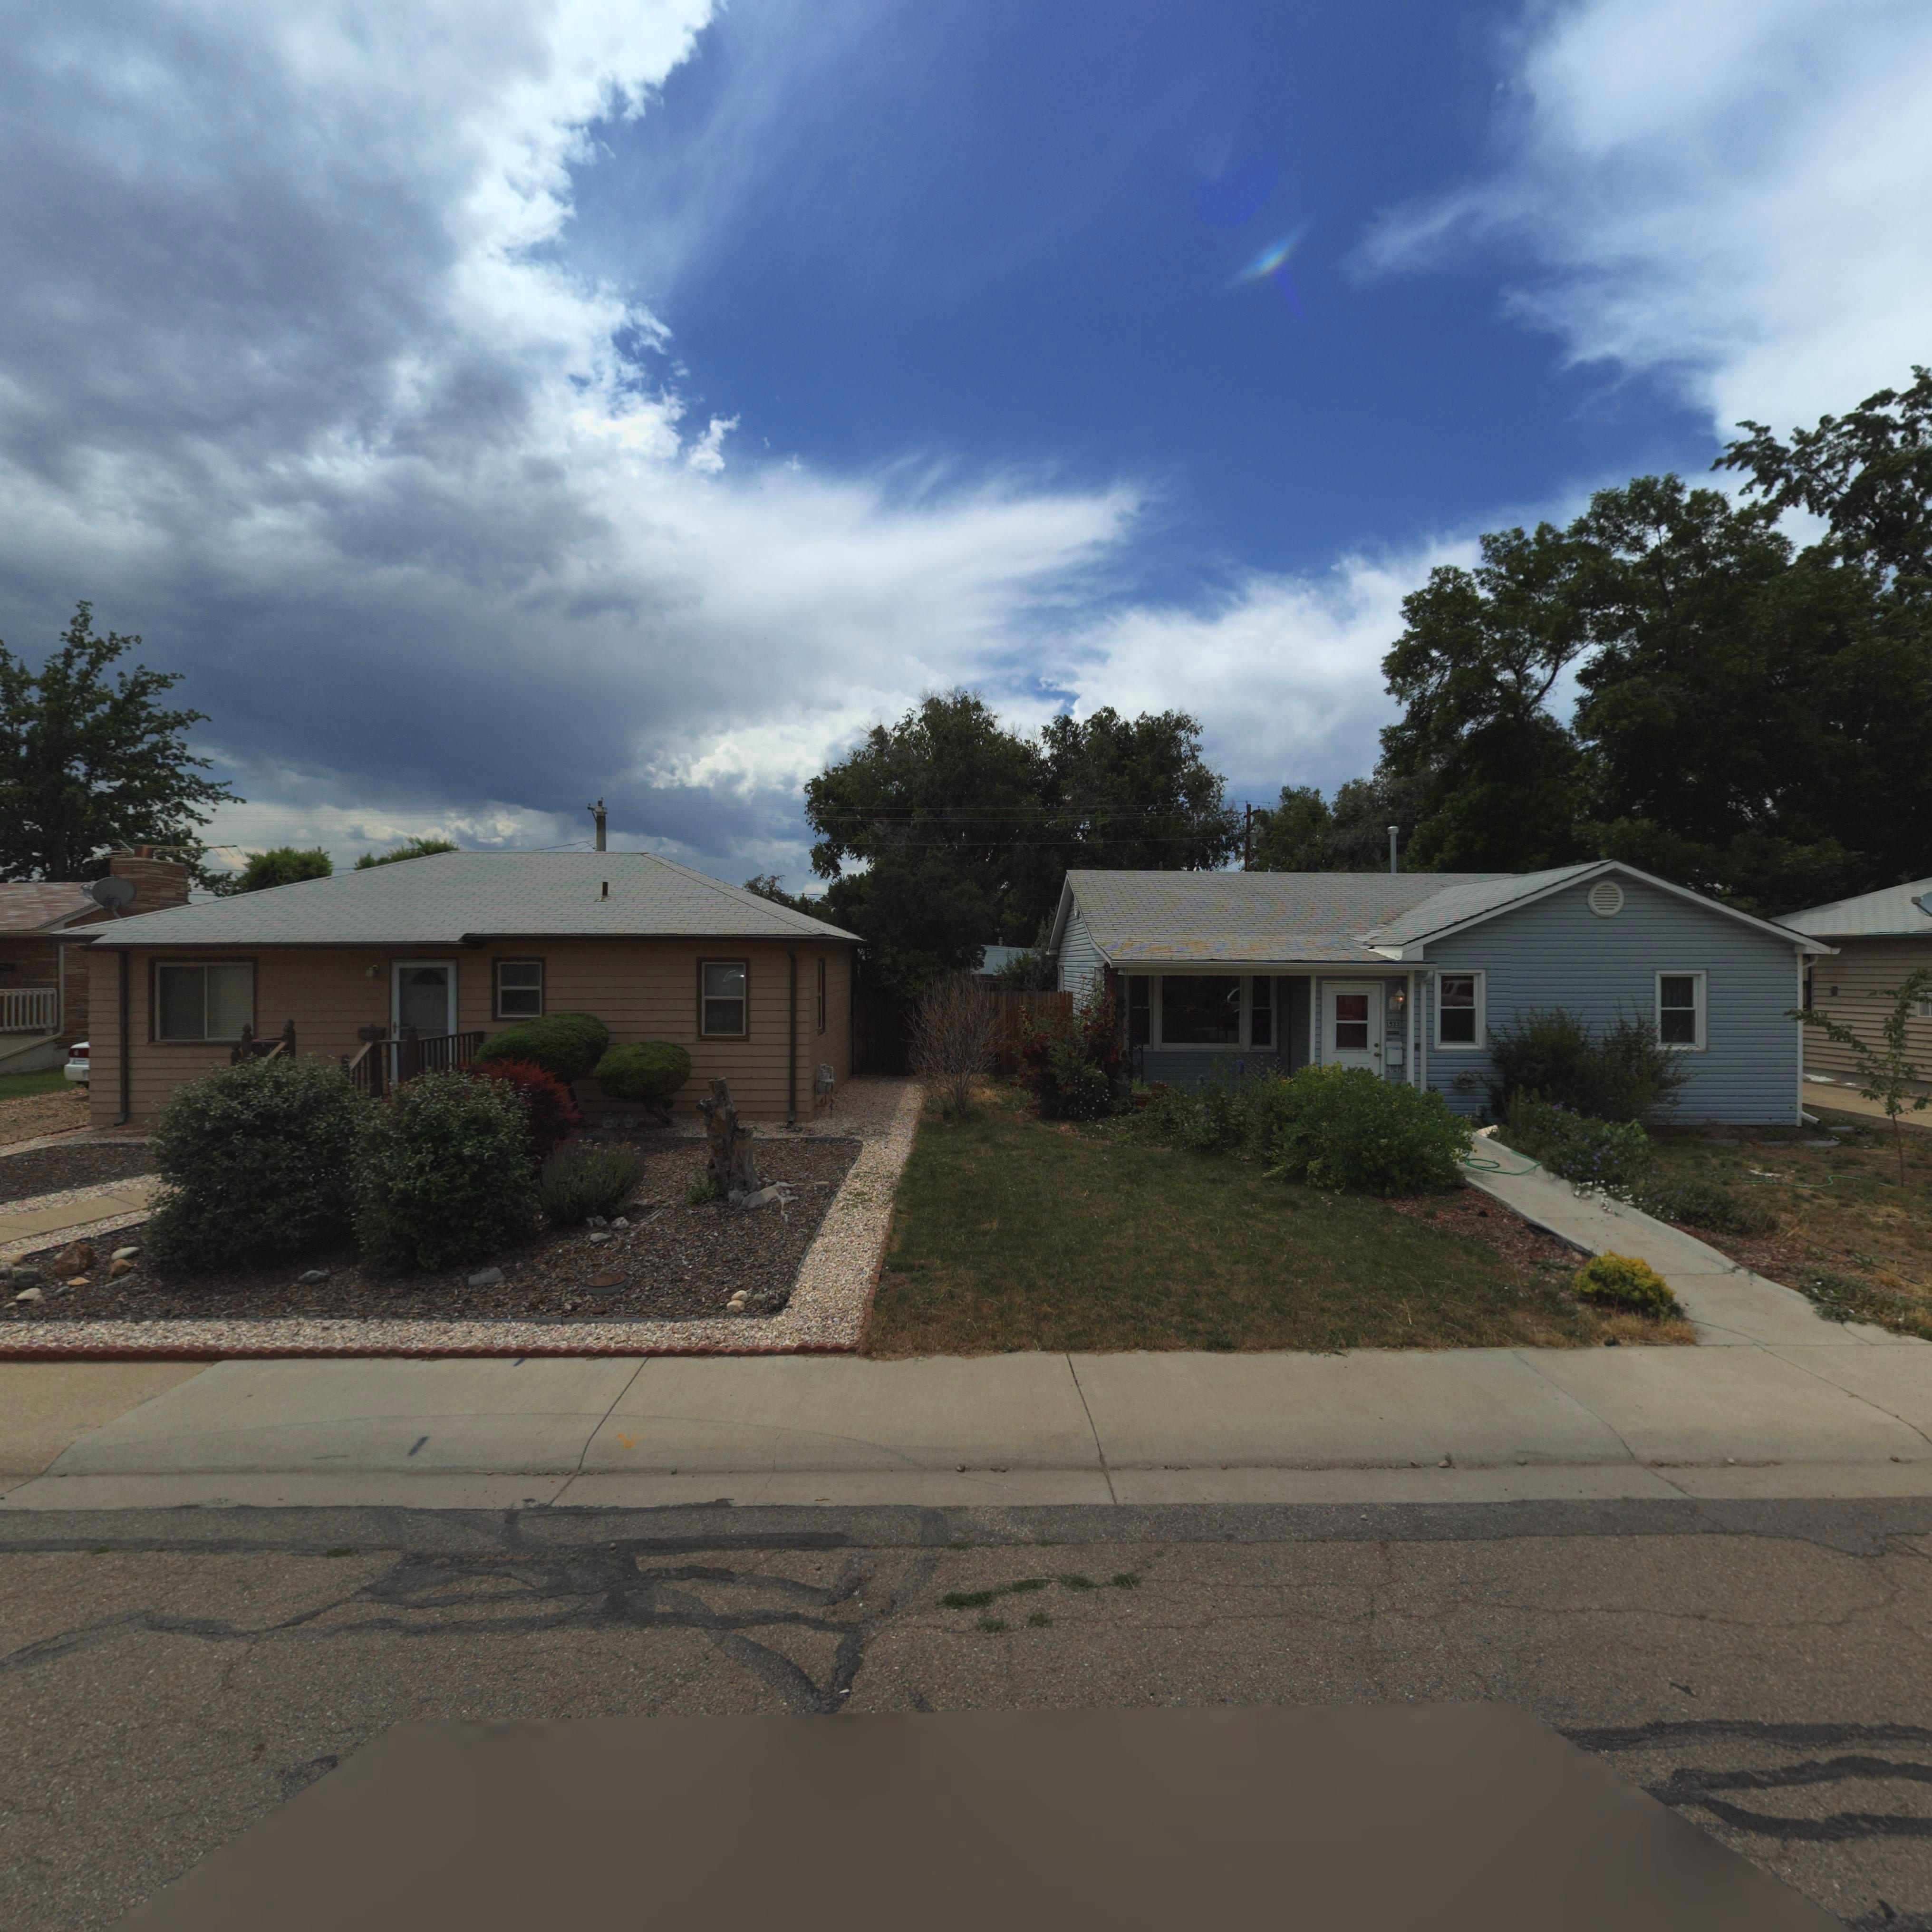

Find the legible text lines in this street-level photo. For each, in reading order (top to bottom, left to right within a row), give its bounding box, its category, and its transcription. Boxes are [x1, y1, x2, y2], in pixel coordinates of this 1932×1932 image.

[364, 979, 382, 987] StreetNumber: *5**
[1386, 1021, 1400, 1027] StreetNumber: 1533